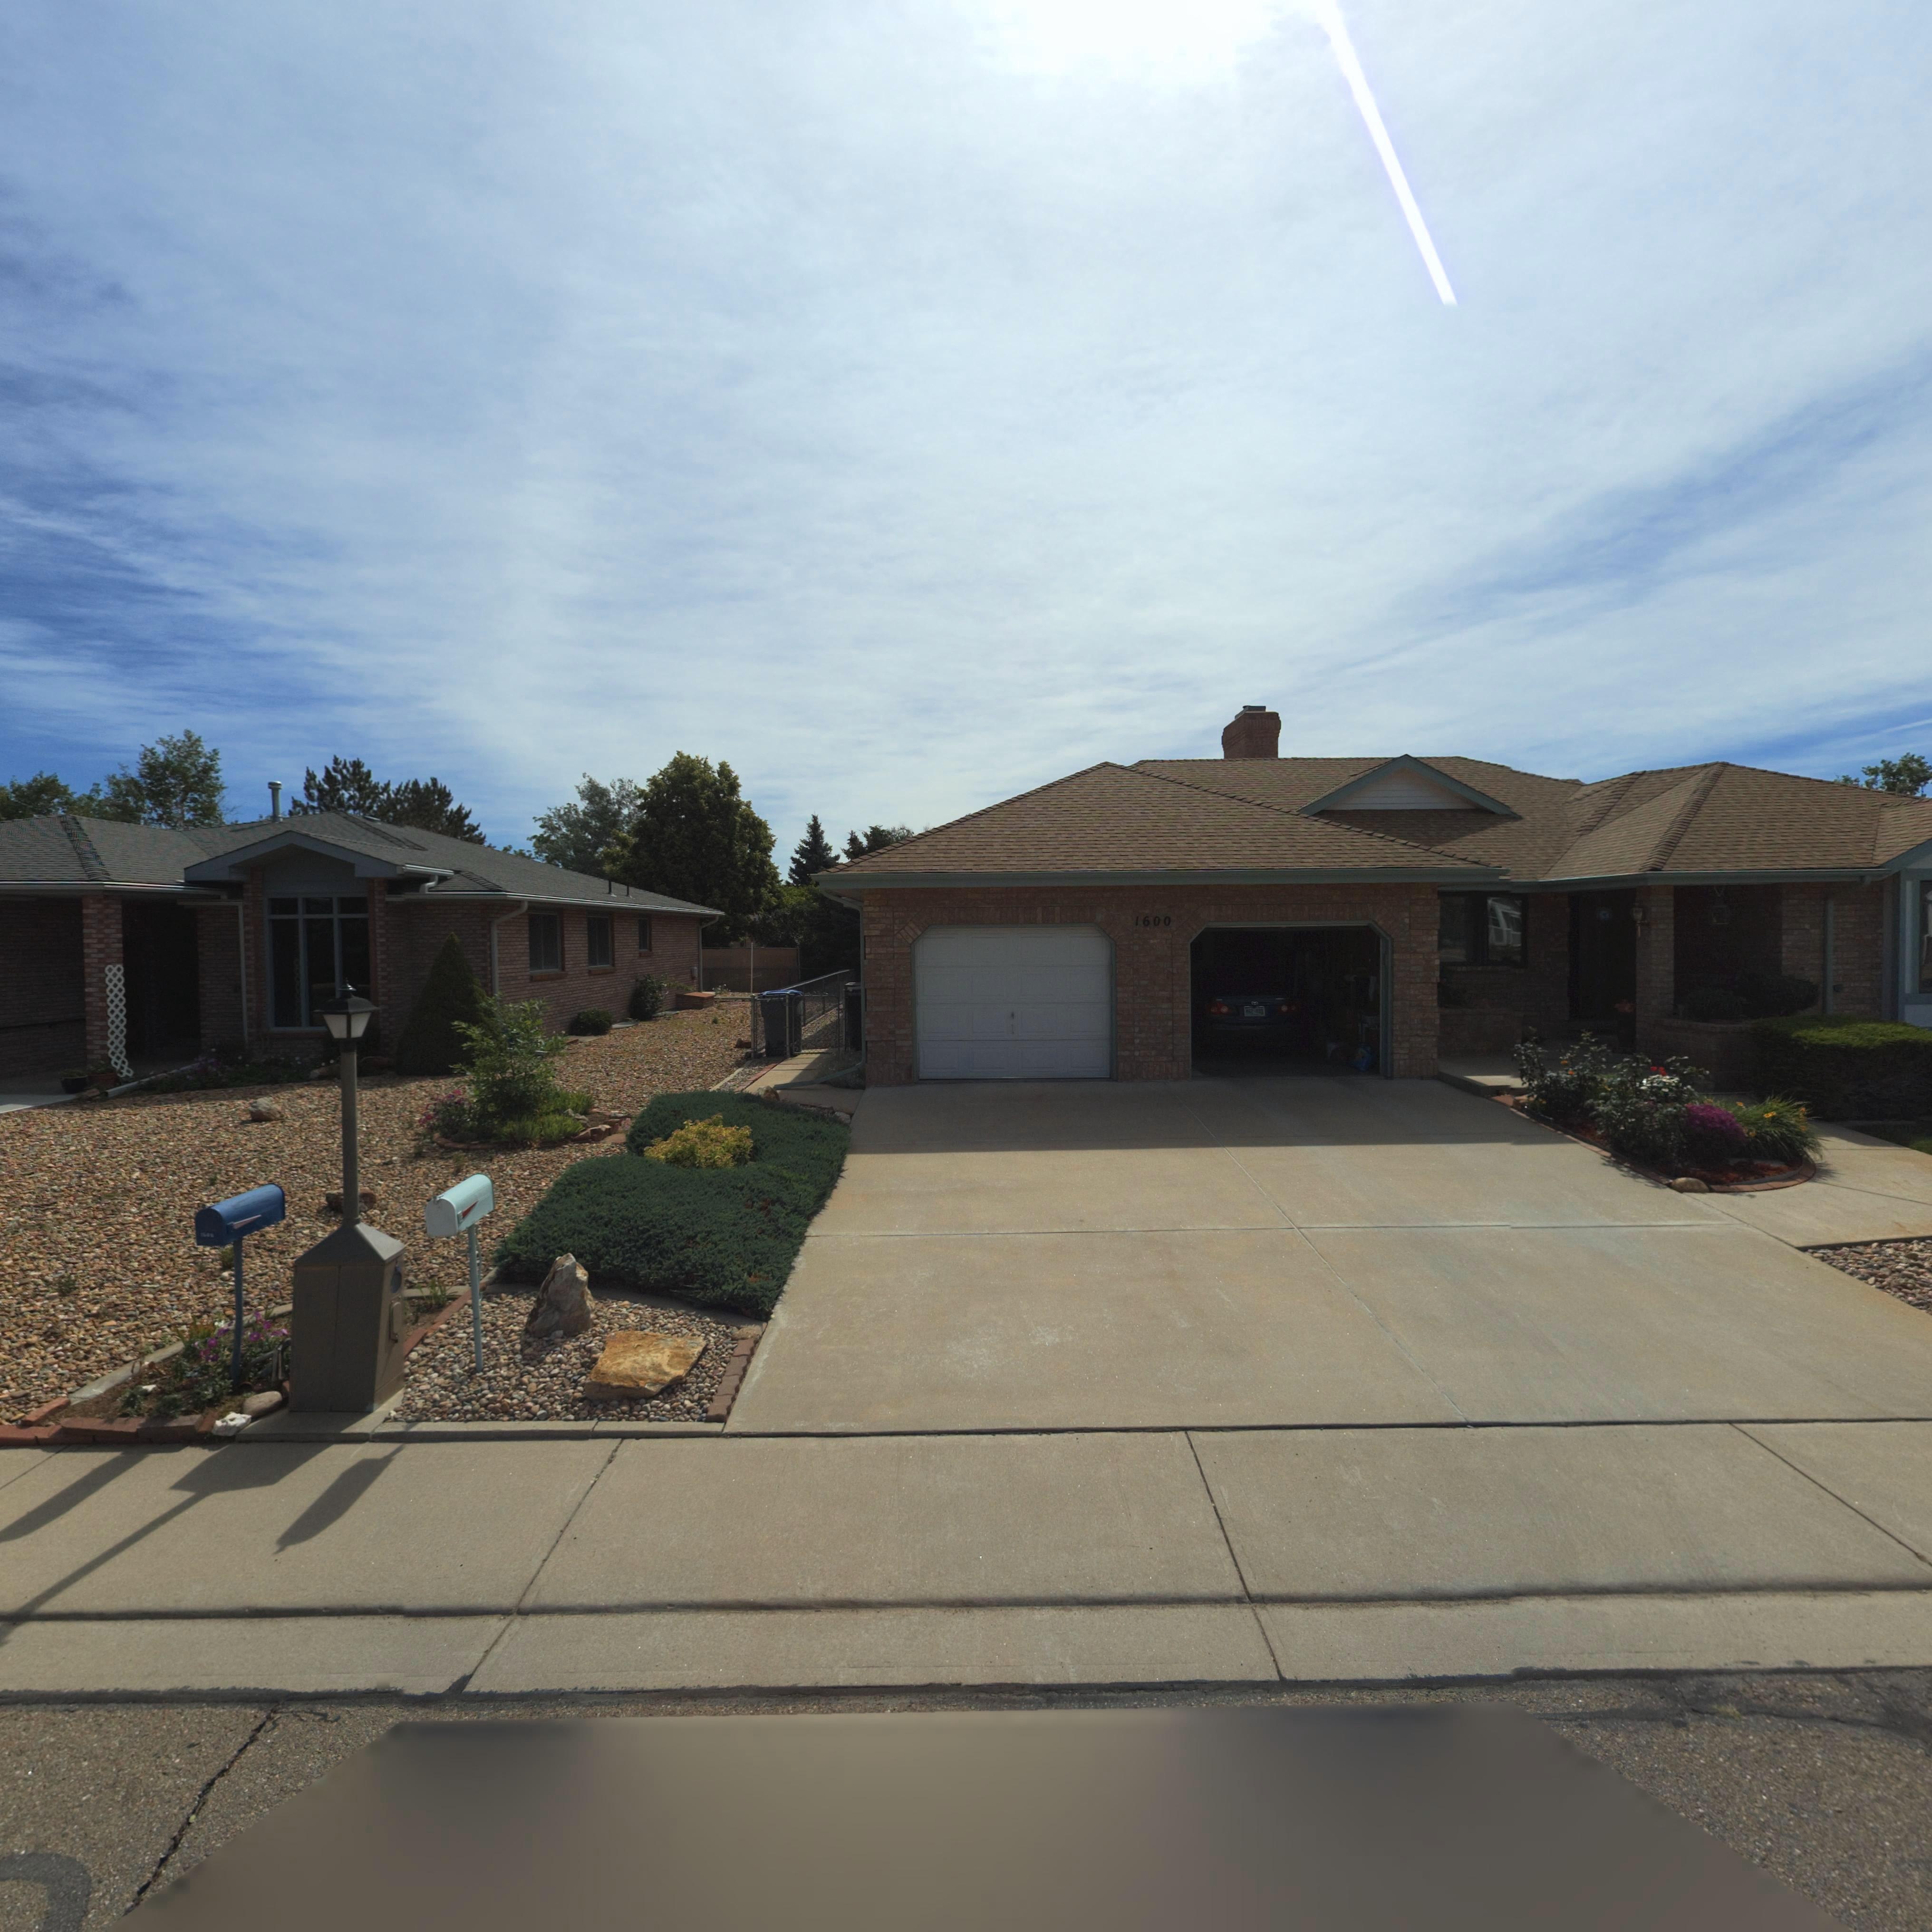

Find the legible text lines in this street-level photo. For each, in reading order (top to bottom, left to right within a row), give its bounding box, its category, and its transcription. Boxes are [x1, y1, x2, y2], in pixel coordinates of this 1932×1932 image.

[1133, 915, 1171, 927] StreetNumber: 1600
[200, 1231, 214, 1238] StreetNumber: 16**